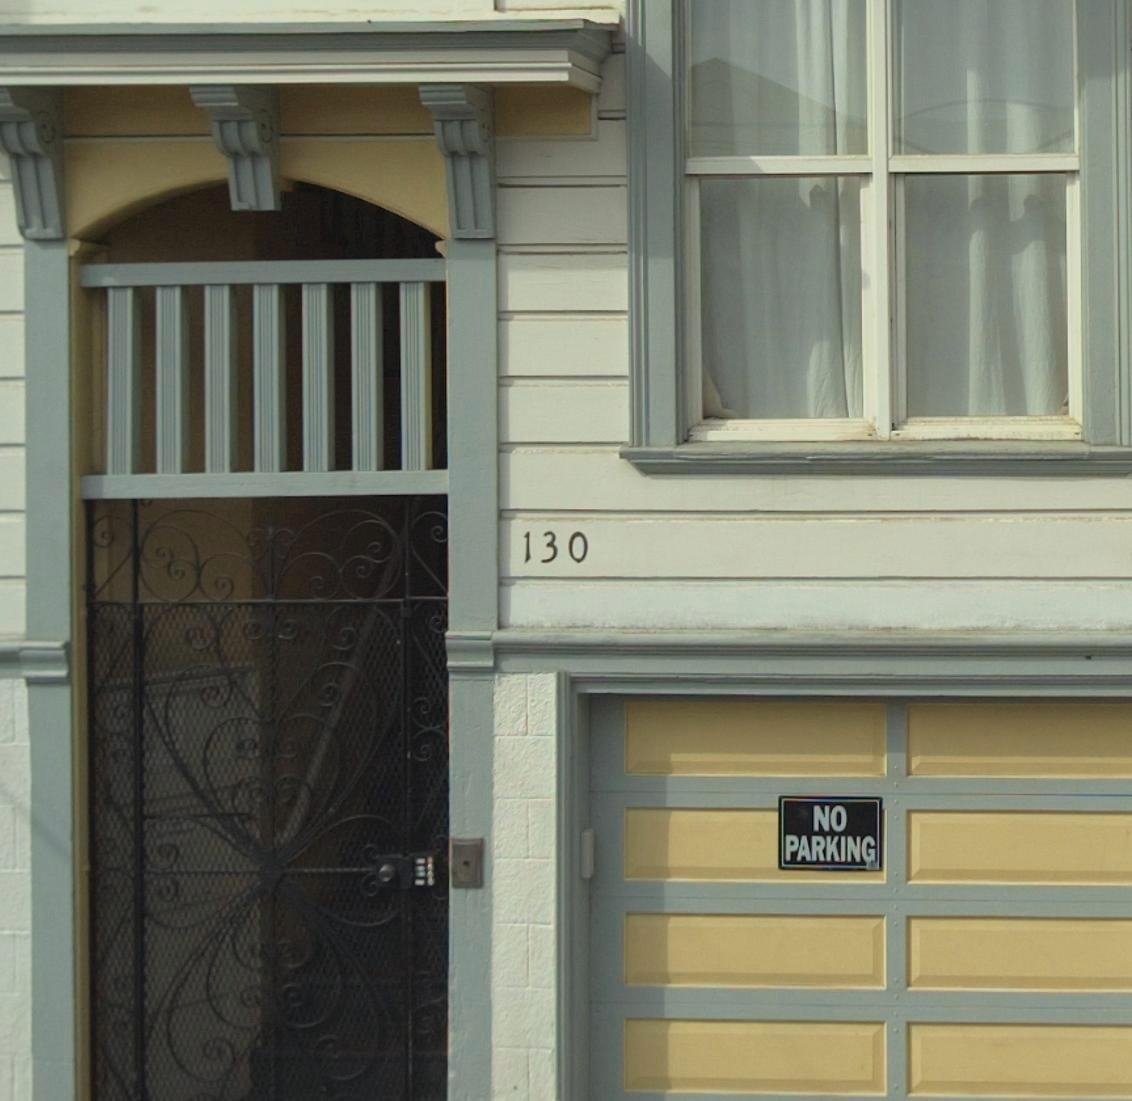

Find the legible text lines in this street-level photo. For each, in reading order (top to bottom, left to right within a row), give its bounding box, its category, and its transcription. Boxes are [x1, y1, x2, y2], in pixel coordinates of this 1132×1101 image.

[522, 529, 590, 565] StreetNumber: 130
[811, 802, 848, 835] None: NO
[783, 833, 875, 864] None: PARKING